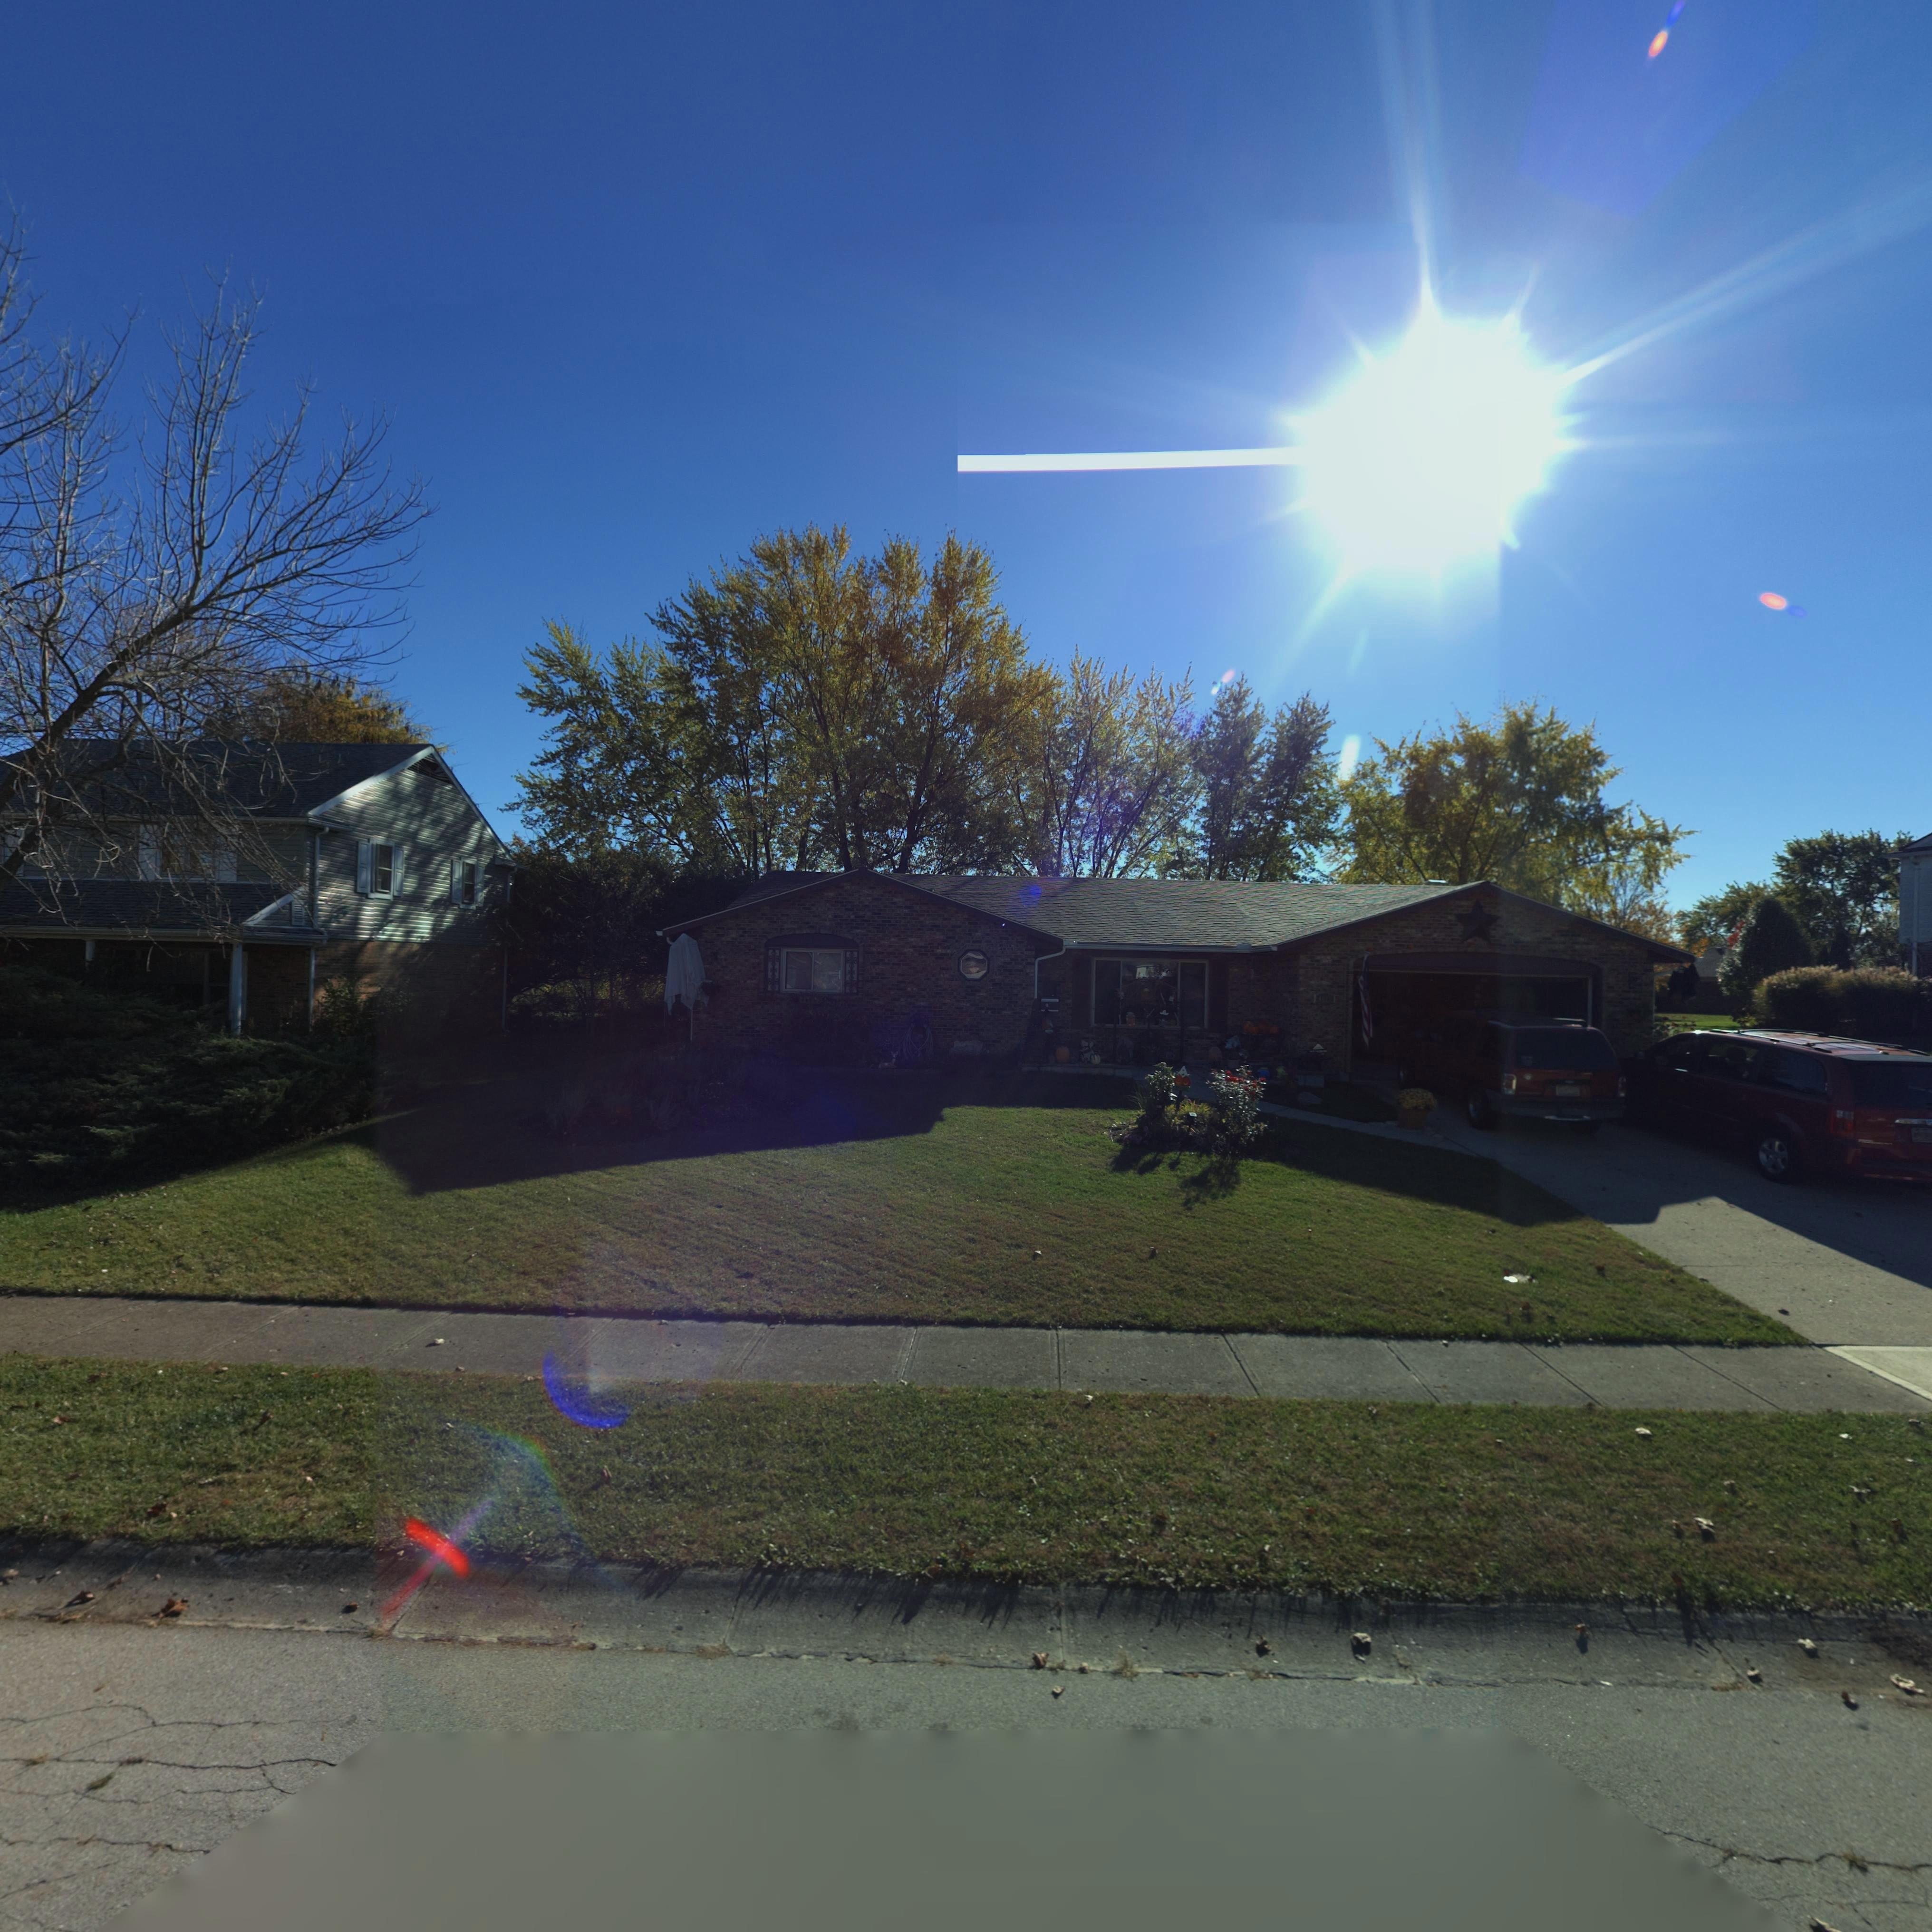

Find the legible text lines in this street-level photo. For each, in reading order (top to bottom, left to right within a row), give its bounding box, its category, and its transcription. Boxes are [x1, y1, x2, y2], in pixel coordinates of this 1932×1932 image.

[1317, 995, 1332, 1003] StreetNumber: 4*1*